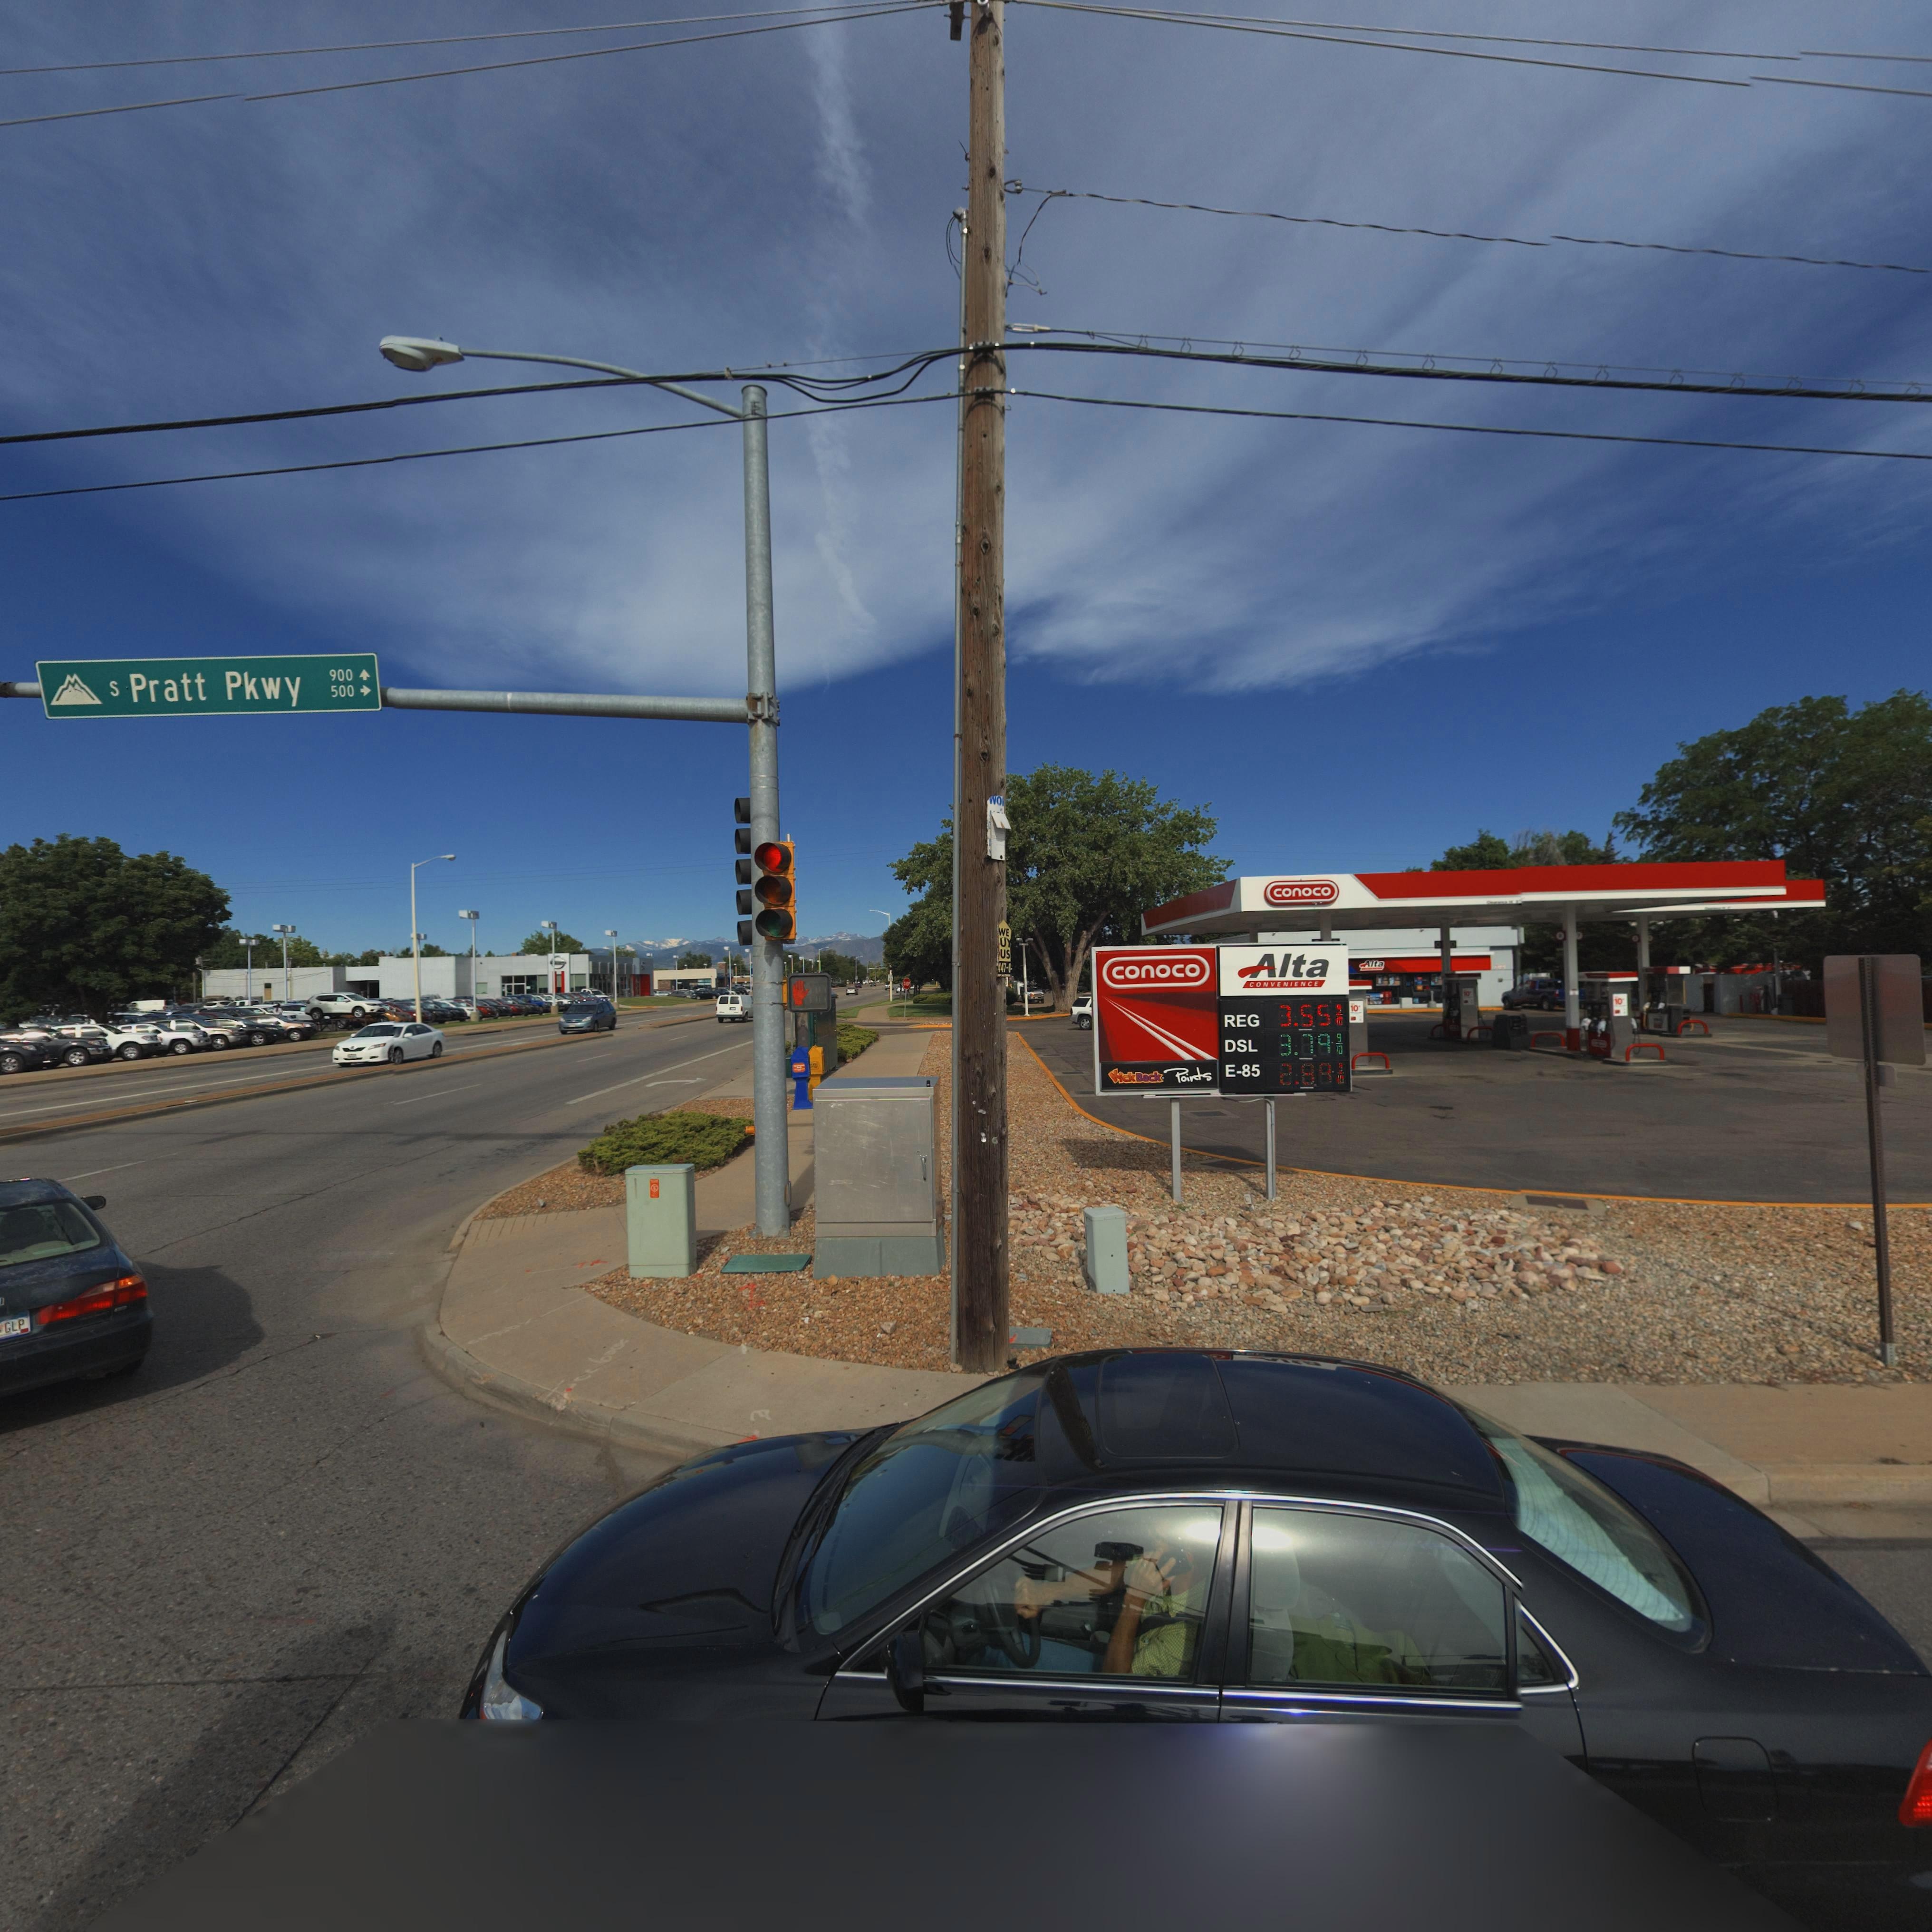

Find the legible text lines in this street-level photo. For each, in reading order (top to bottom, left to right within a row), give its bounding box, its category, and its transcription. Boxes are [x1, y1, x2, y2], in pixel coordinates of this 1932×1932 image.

[328, 668, 354, 682] StreetNumberRange: 900
[107, 670, 301, 708] StreetName: S Pratt Pkwy
[330, 684, 372, 697] StreetNumberRange: 500->
[1273, 886, 1332, 897] BusinessName: conoco
[1111, 963, 1200, 979] BusinessName: conoco
[1247, 953, 1330, 979] BusinessName: Alta
[1362, 959, 1383, 967] BusinessName: Alta
[1249, 981, 1318, 987] BusinessName: CONVENIENCE